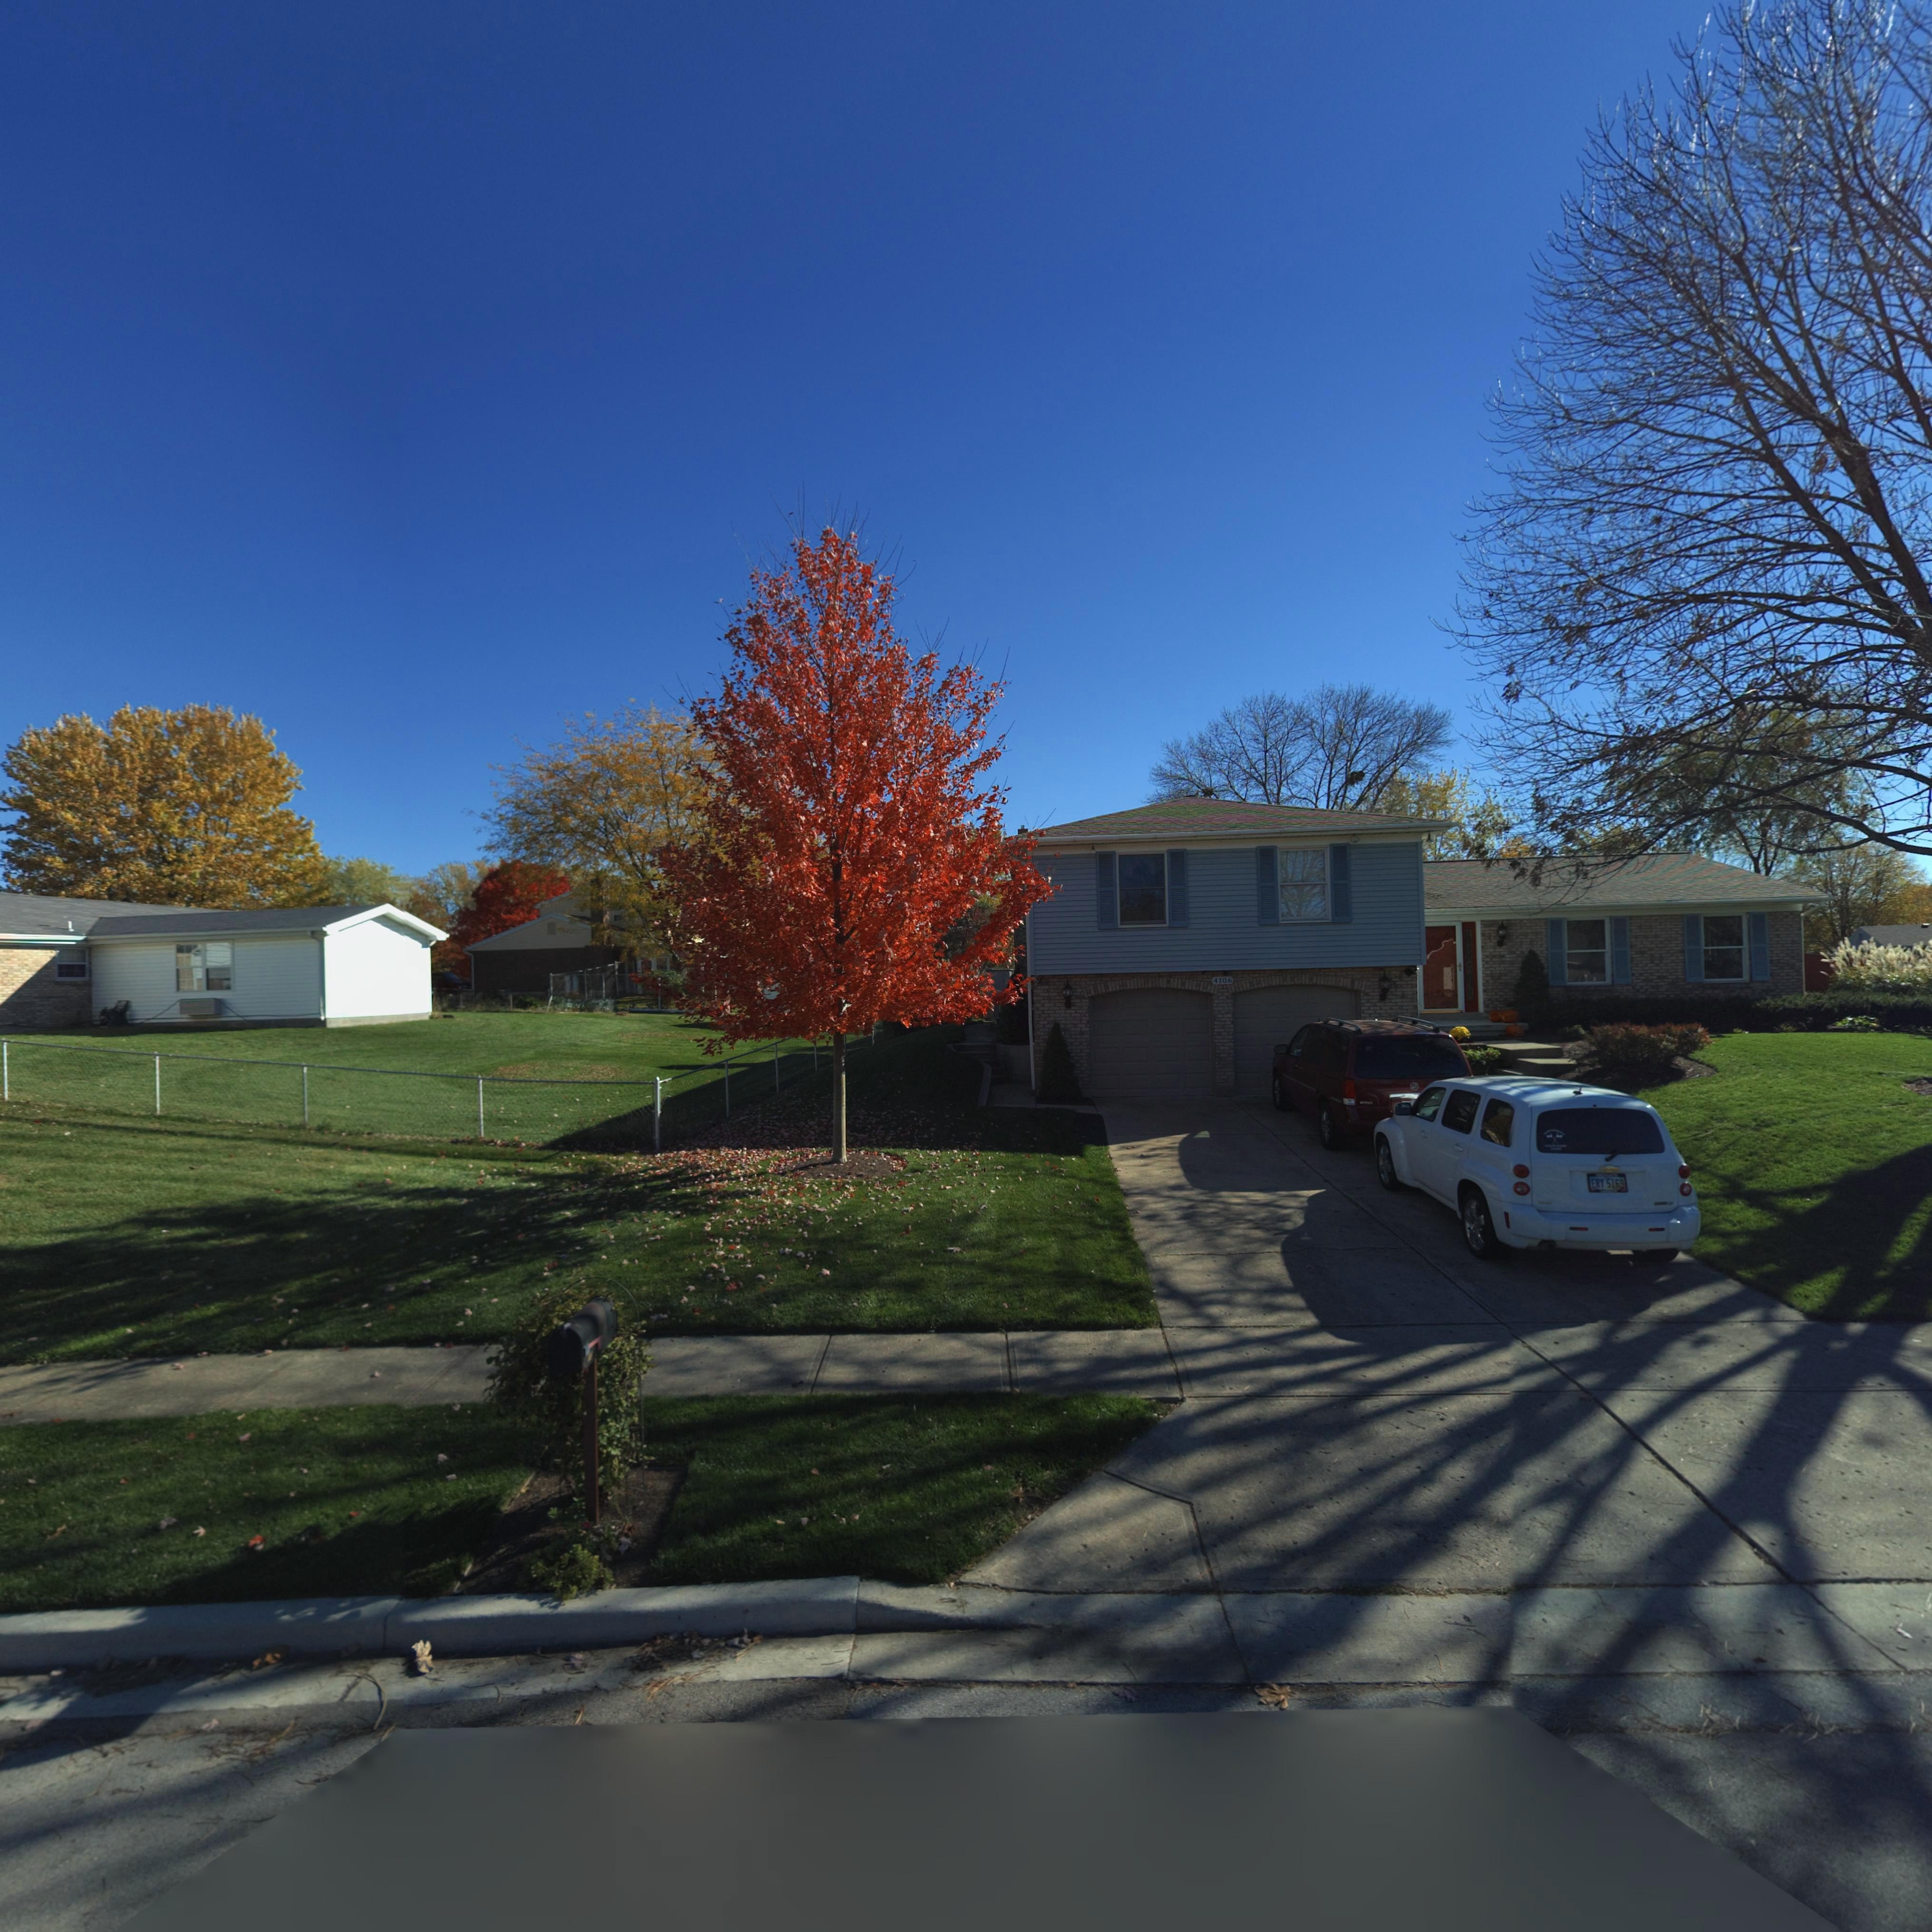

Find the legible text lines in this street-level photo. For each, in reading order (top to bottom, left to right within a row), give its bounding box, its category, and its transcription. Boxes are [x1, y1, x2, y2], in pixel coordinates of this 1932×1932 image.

[1213, 977, 1232, 984] StreetNumber: 4106